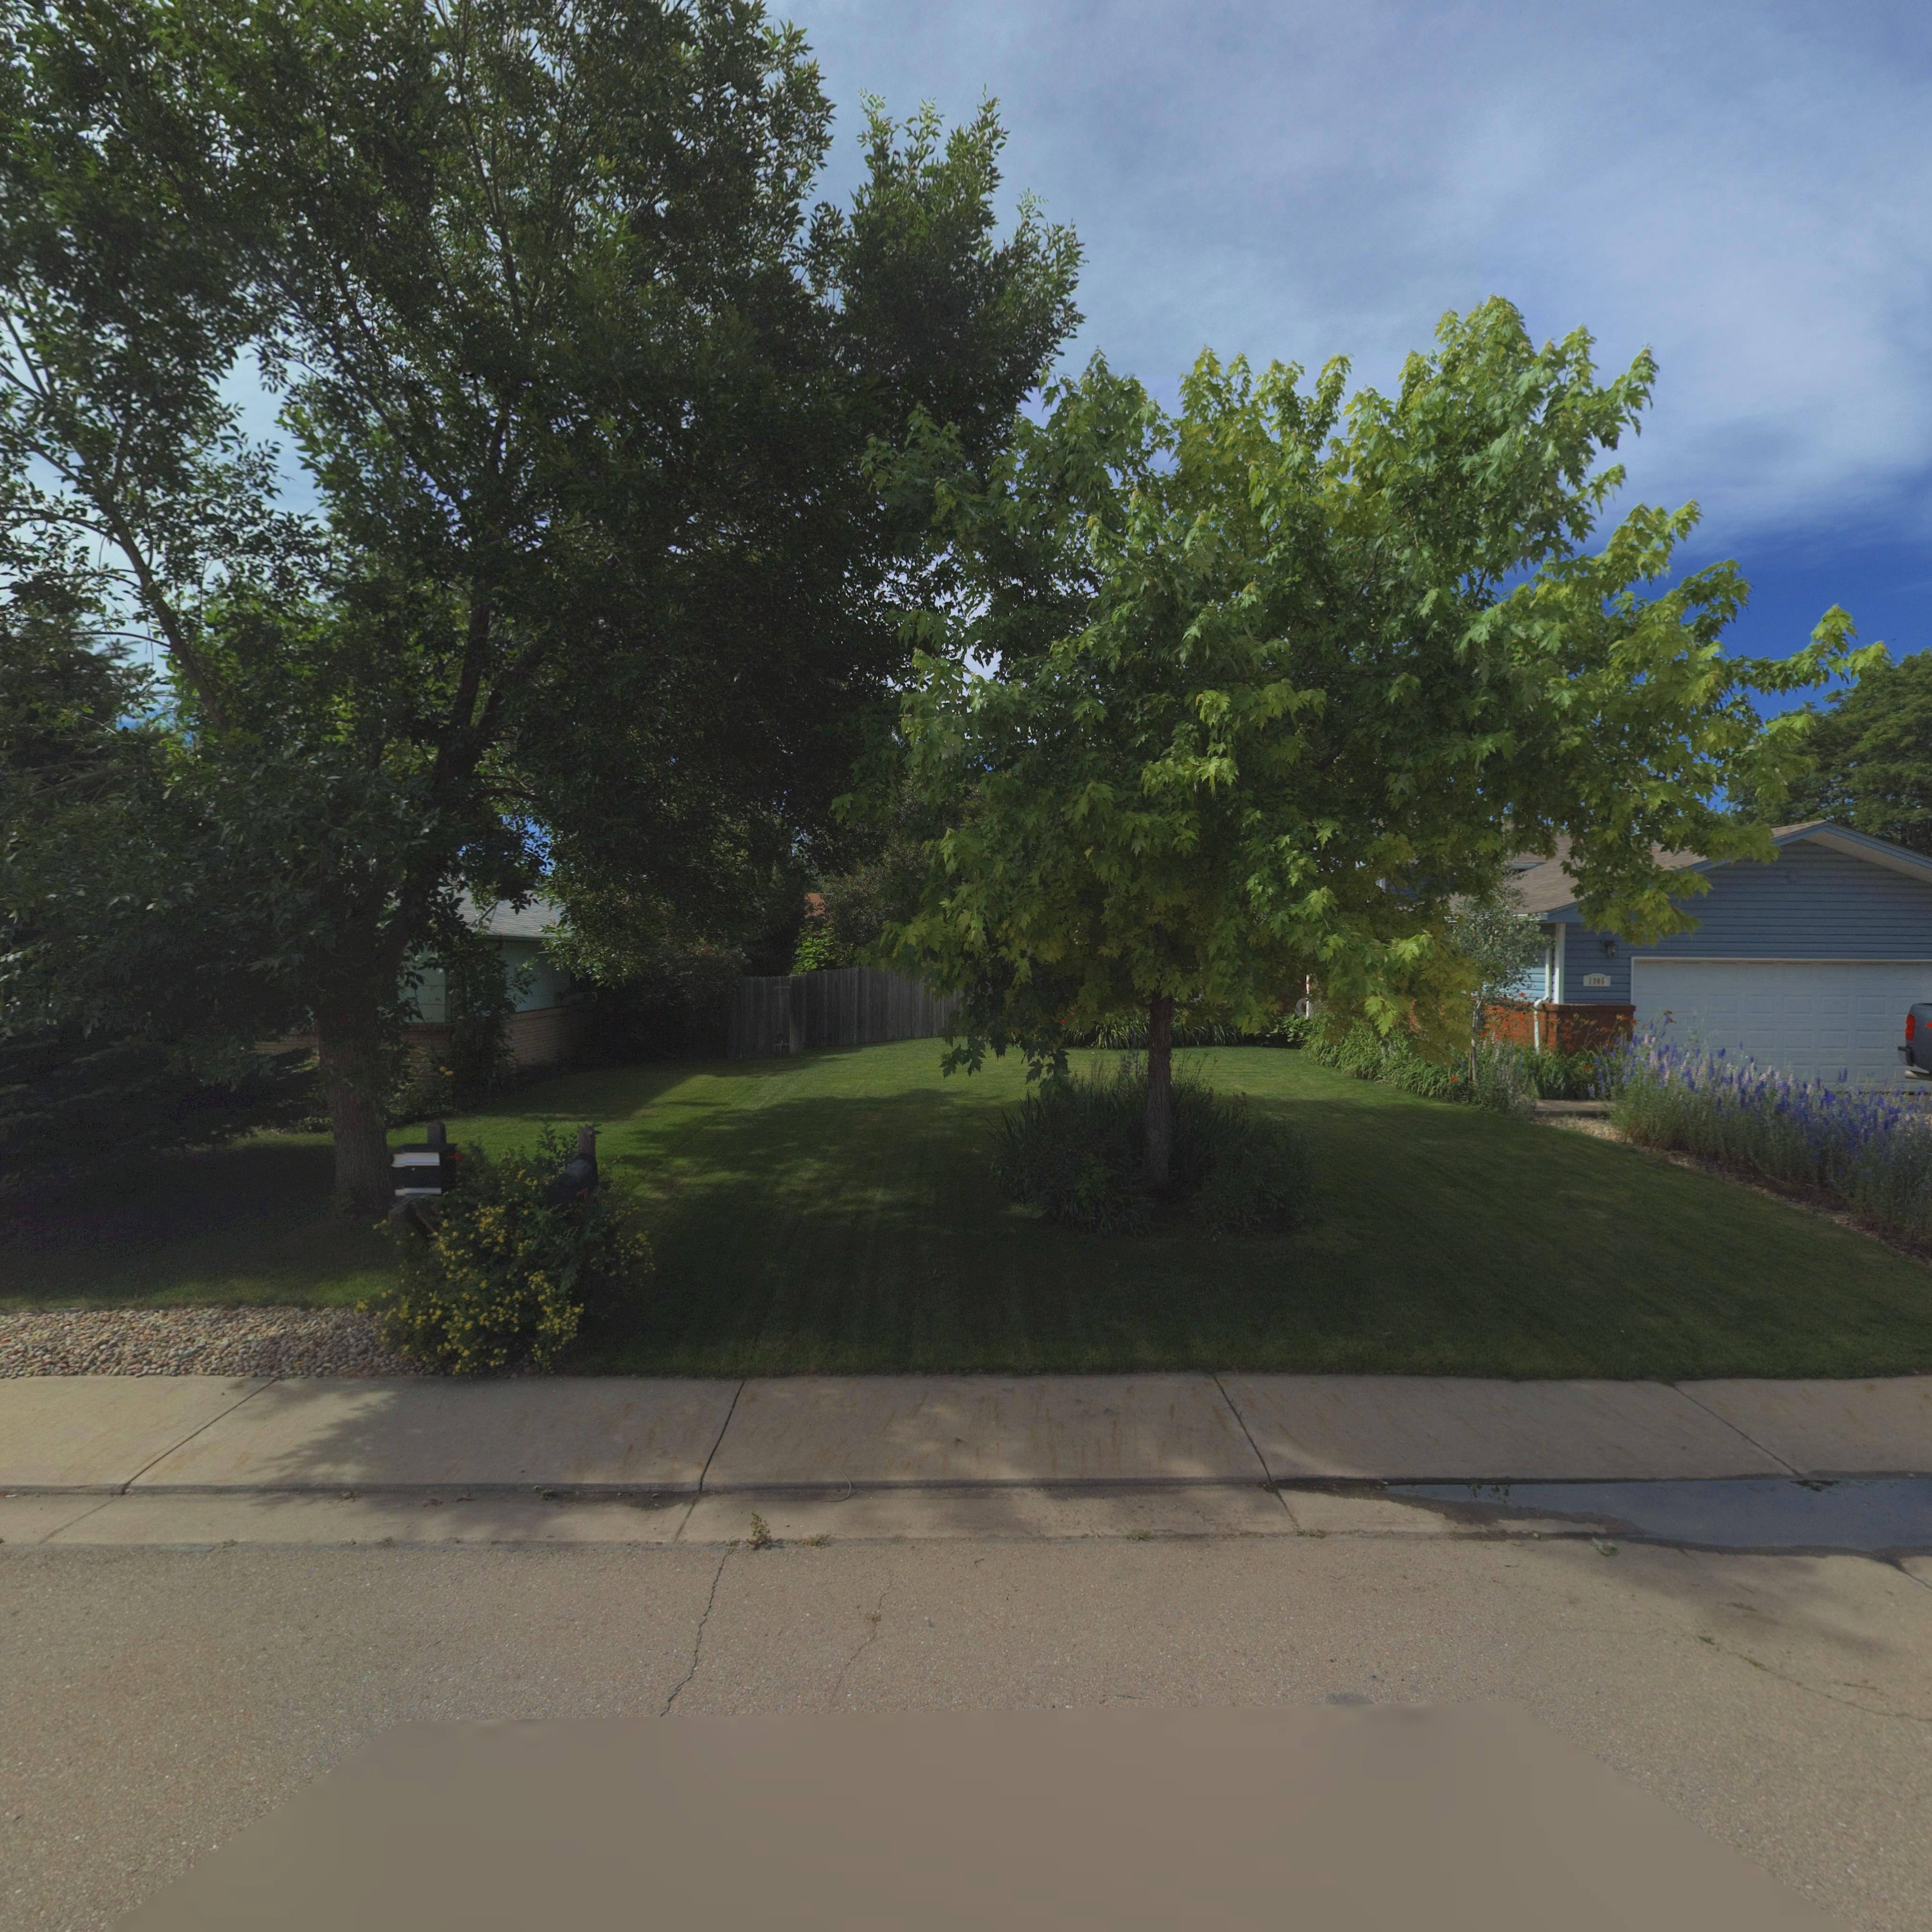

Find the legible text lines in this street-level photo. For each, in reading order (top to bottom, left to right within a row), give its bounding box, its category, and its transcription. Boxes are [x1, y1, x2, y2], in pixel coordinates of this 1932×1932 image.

[1588, 977, 1605, 985] StreetNumber: 13*5